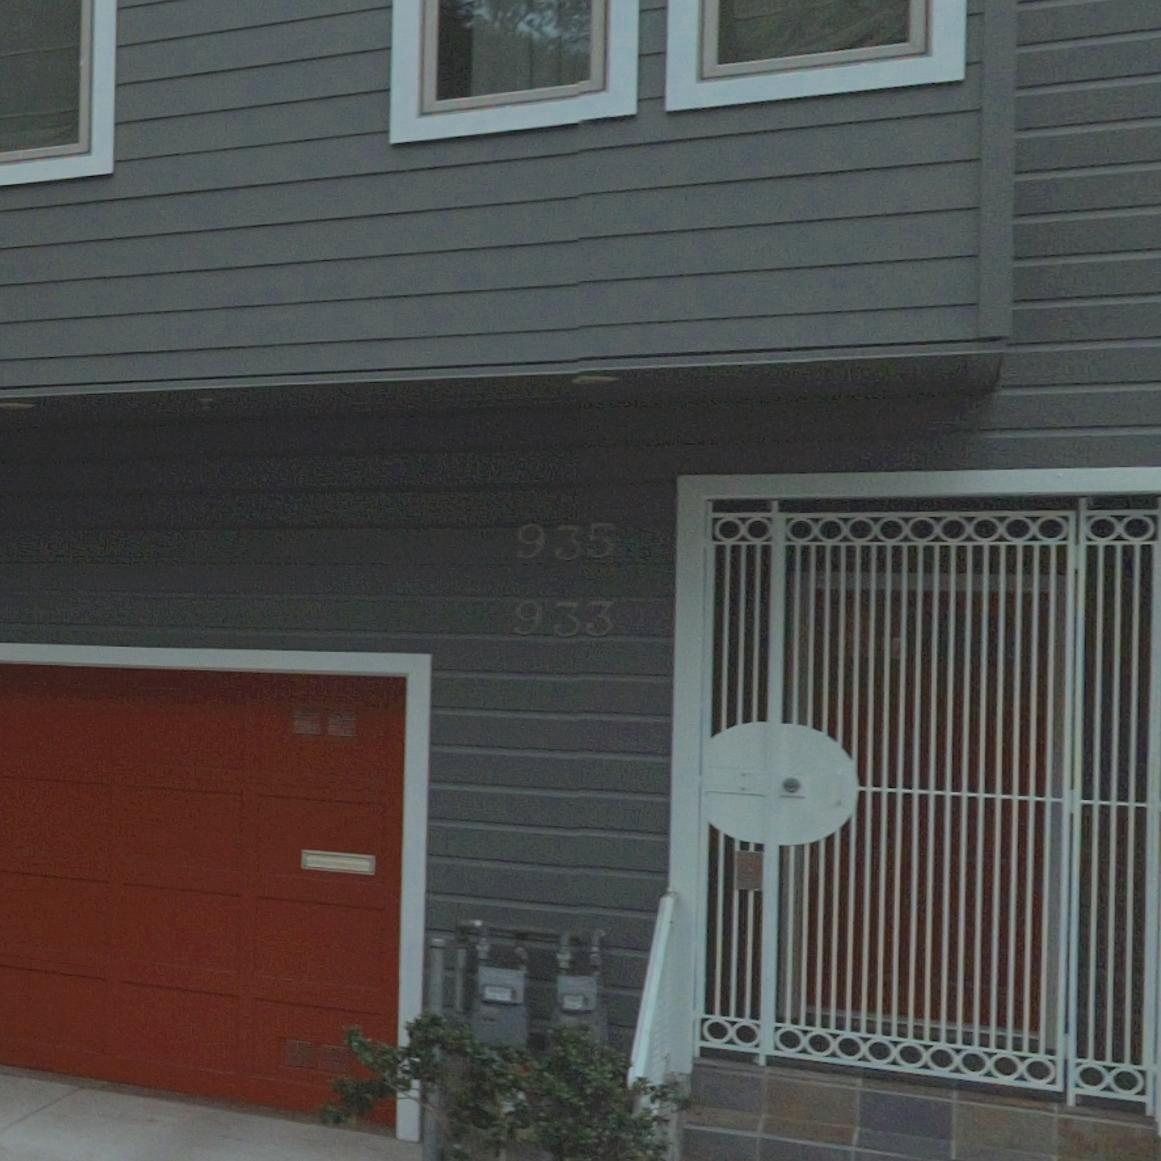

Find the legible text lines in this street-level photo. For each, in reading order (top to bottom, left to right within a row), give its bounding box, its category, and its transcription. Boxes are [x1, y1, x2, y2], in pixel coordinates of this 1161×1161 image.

[515, 520, 618, 562] StreetNumber: 935
[511, 598, 615, 640] StreetNumber: 933